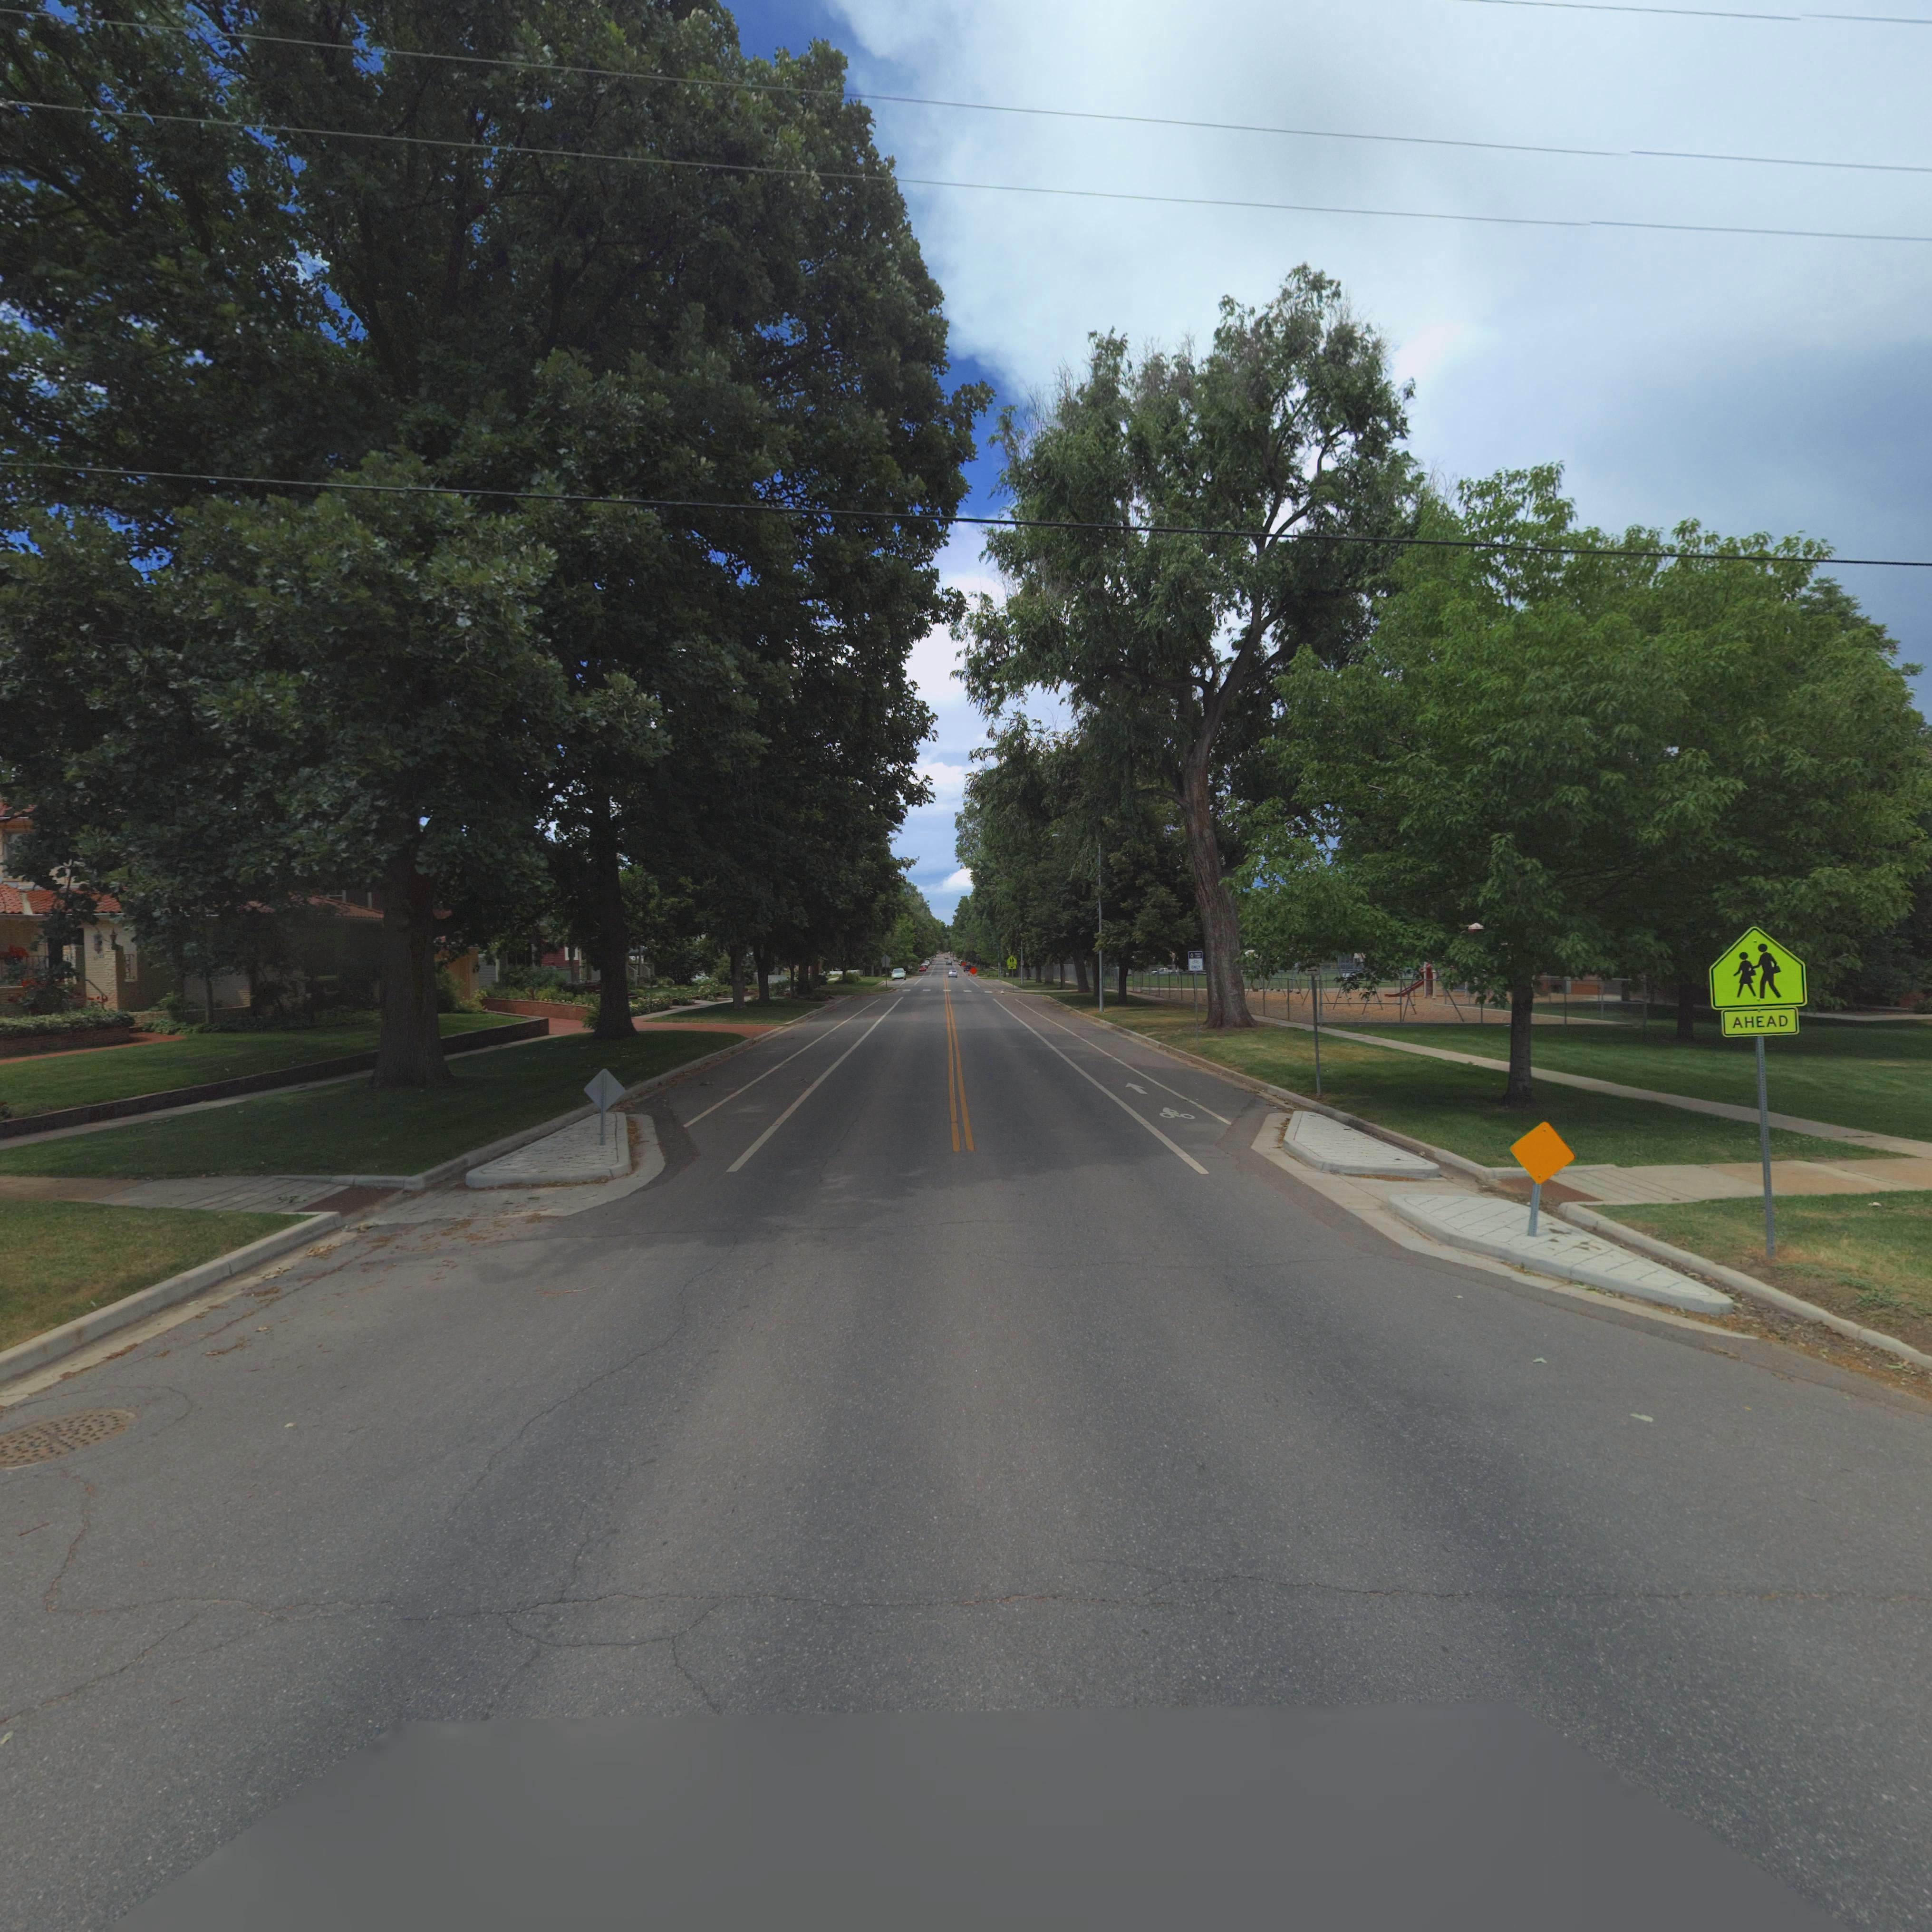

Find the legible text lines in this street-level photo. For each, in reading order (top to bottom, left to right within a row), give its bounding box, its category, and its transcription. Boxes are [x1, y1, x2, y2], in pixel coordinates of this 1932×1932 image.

[93, 954, 105, 960] StreetNumber: 1**2